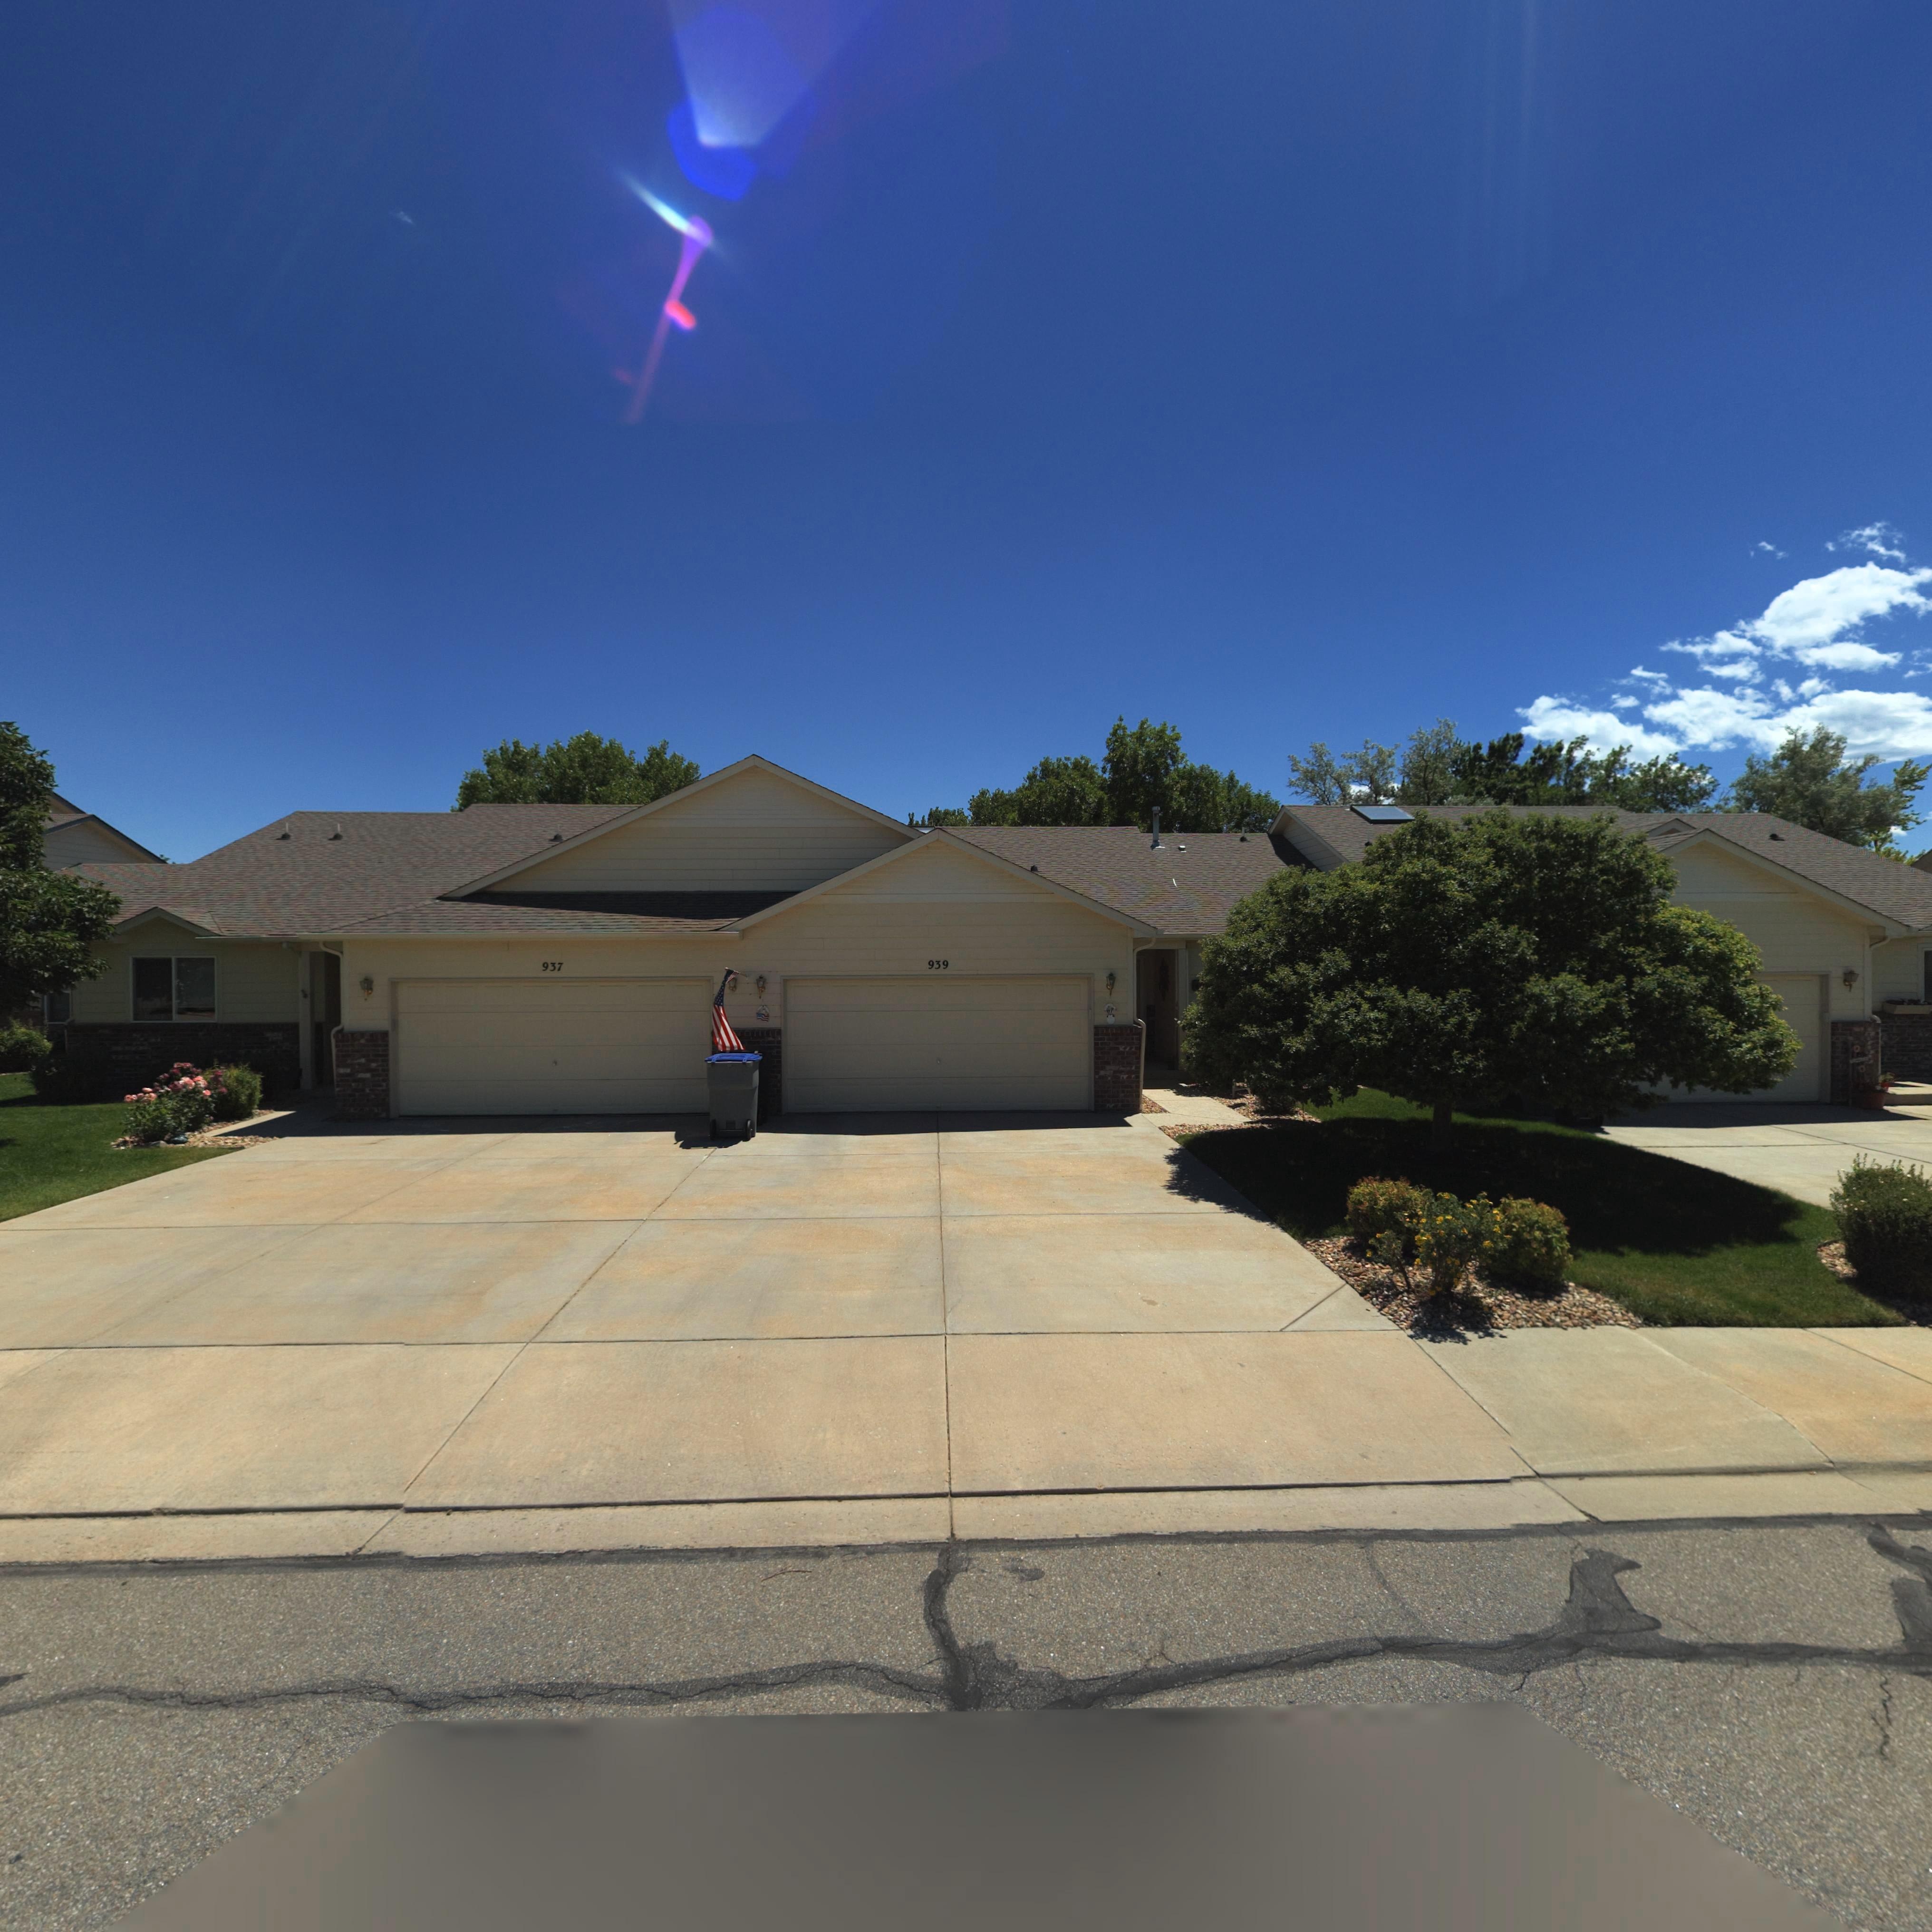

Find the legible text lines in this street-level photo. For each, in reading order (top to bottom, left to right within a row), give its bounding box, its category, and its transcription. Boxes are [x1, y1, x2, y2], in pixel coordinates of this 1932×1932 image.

[541, 962, 563, 972] StreetNumber: 937
[927, 959, 948, 969] StreetNumber: 939